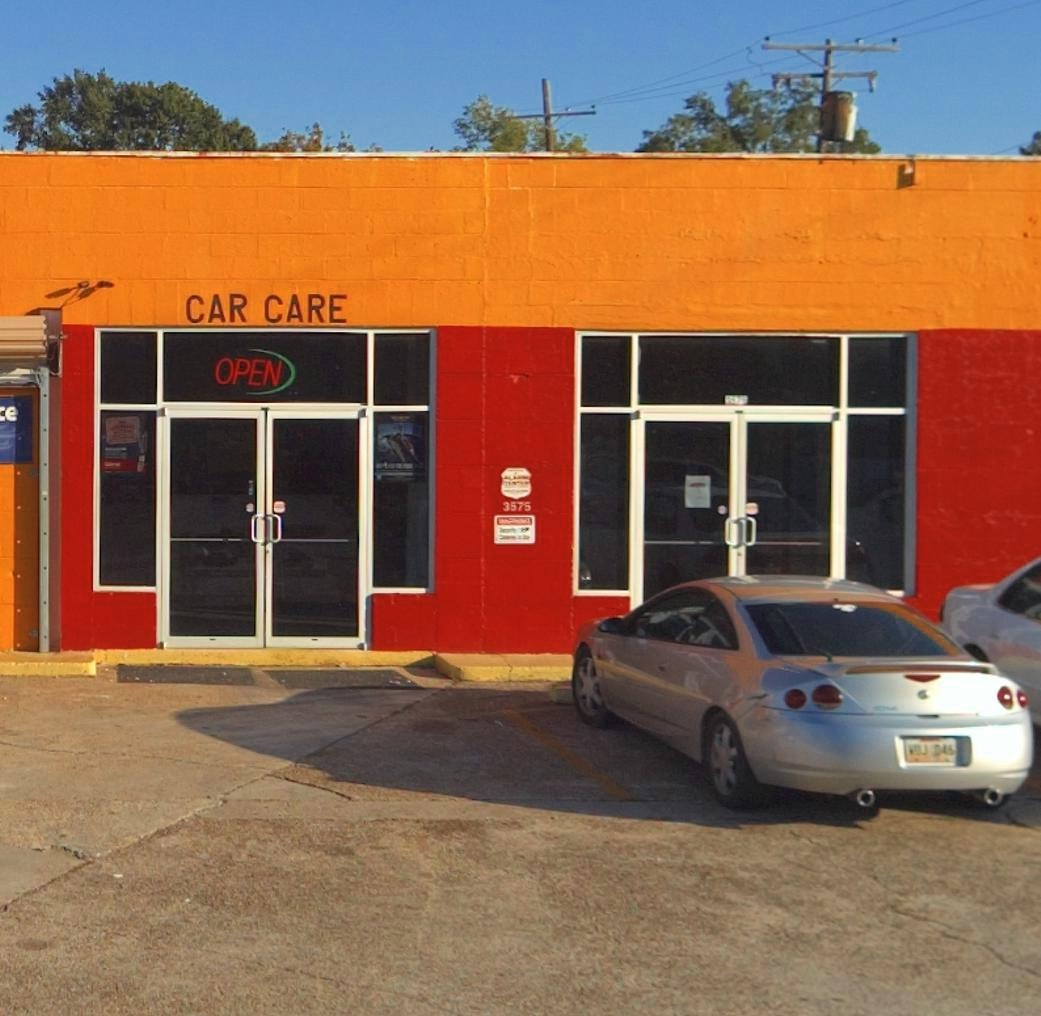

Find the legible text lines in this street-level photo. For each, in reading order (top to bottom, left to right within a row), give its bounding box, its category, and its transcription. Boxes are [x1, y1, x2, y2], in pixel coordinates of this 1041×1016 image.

[184, 289, 351, 326] None: CAR CARE
[211, 355, 287, 389] None: OPEN
[4, 401, 21, 427] None: e
[499, 499, 533, 514] StreetNumber: 3575
[919, 742, 929, 757] None: J
[938, 741, 949, 757] None: 4